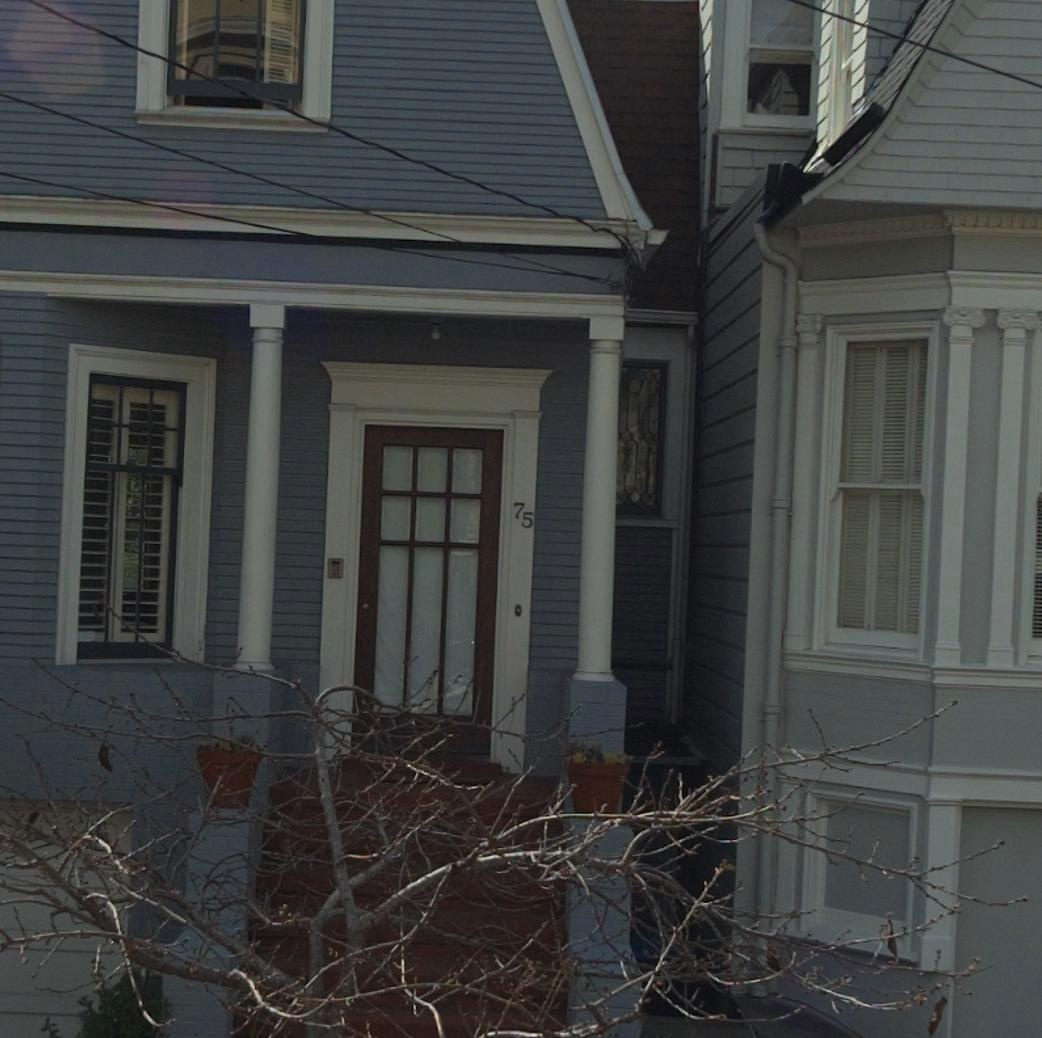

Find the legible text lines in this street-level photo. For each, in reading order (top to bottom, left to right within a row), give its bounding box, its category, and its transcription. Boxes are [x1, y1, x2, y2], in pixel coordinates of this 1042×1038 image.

[512, 501, 535, 530] StreetNumber: 75